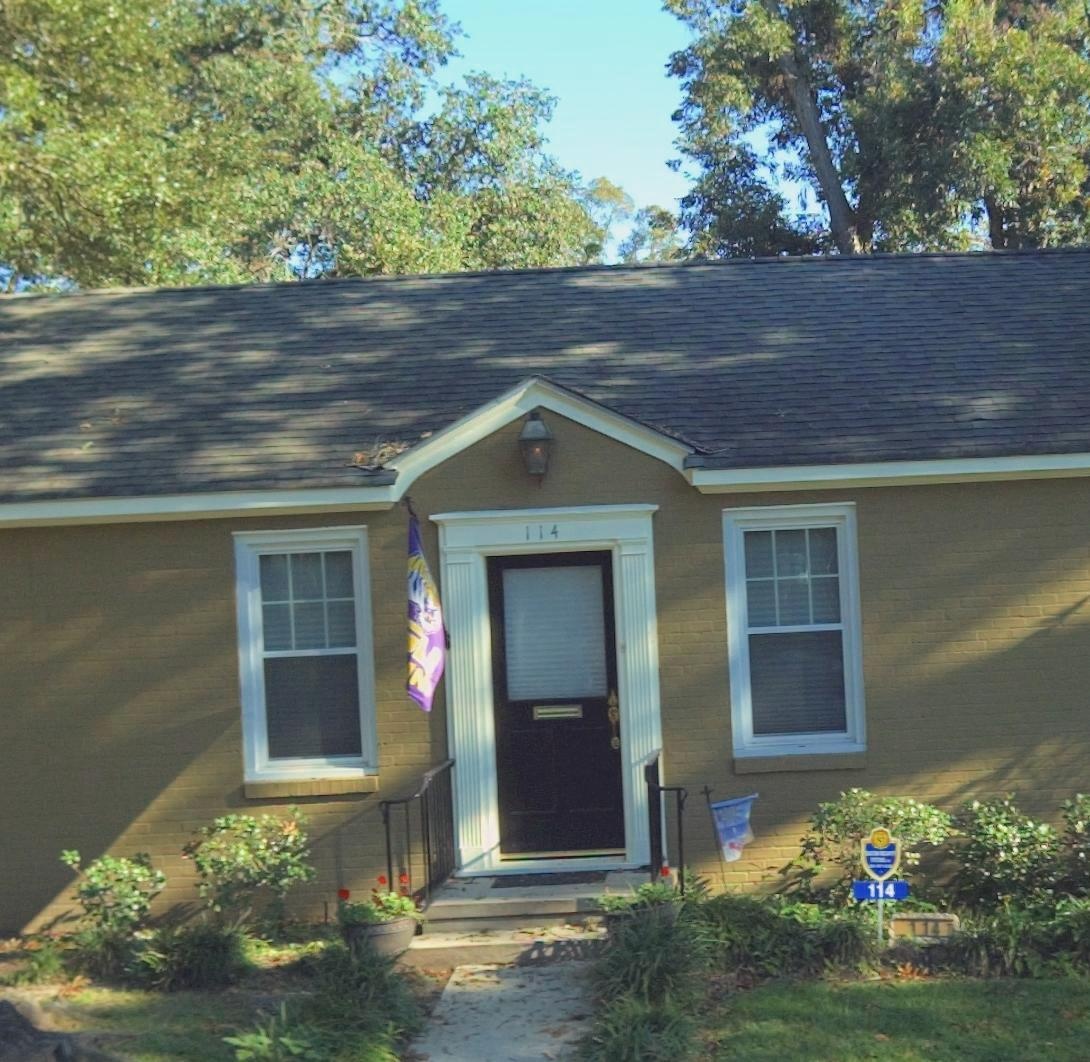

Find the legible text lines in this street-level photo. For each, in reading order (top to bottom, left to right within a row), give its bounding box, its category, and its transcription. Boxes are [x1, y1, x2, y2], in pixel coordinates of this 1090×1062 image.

[523, 521, 562, 543] StreetNumber: 114
[865, 882, 898, 899] StreetNumber: 114